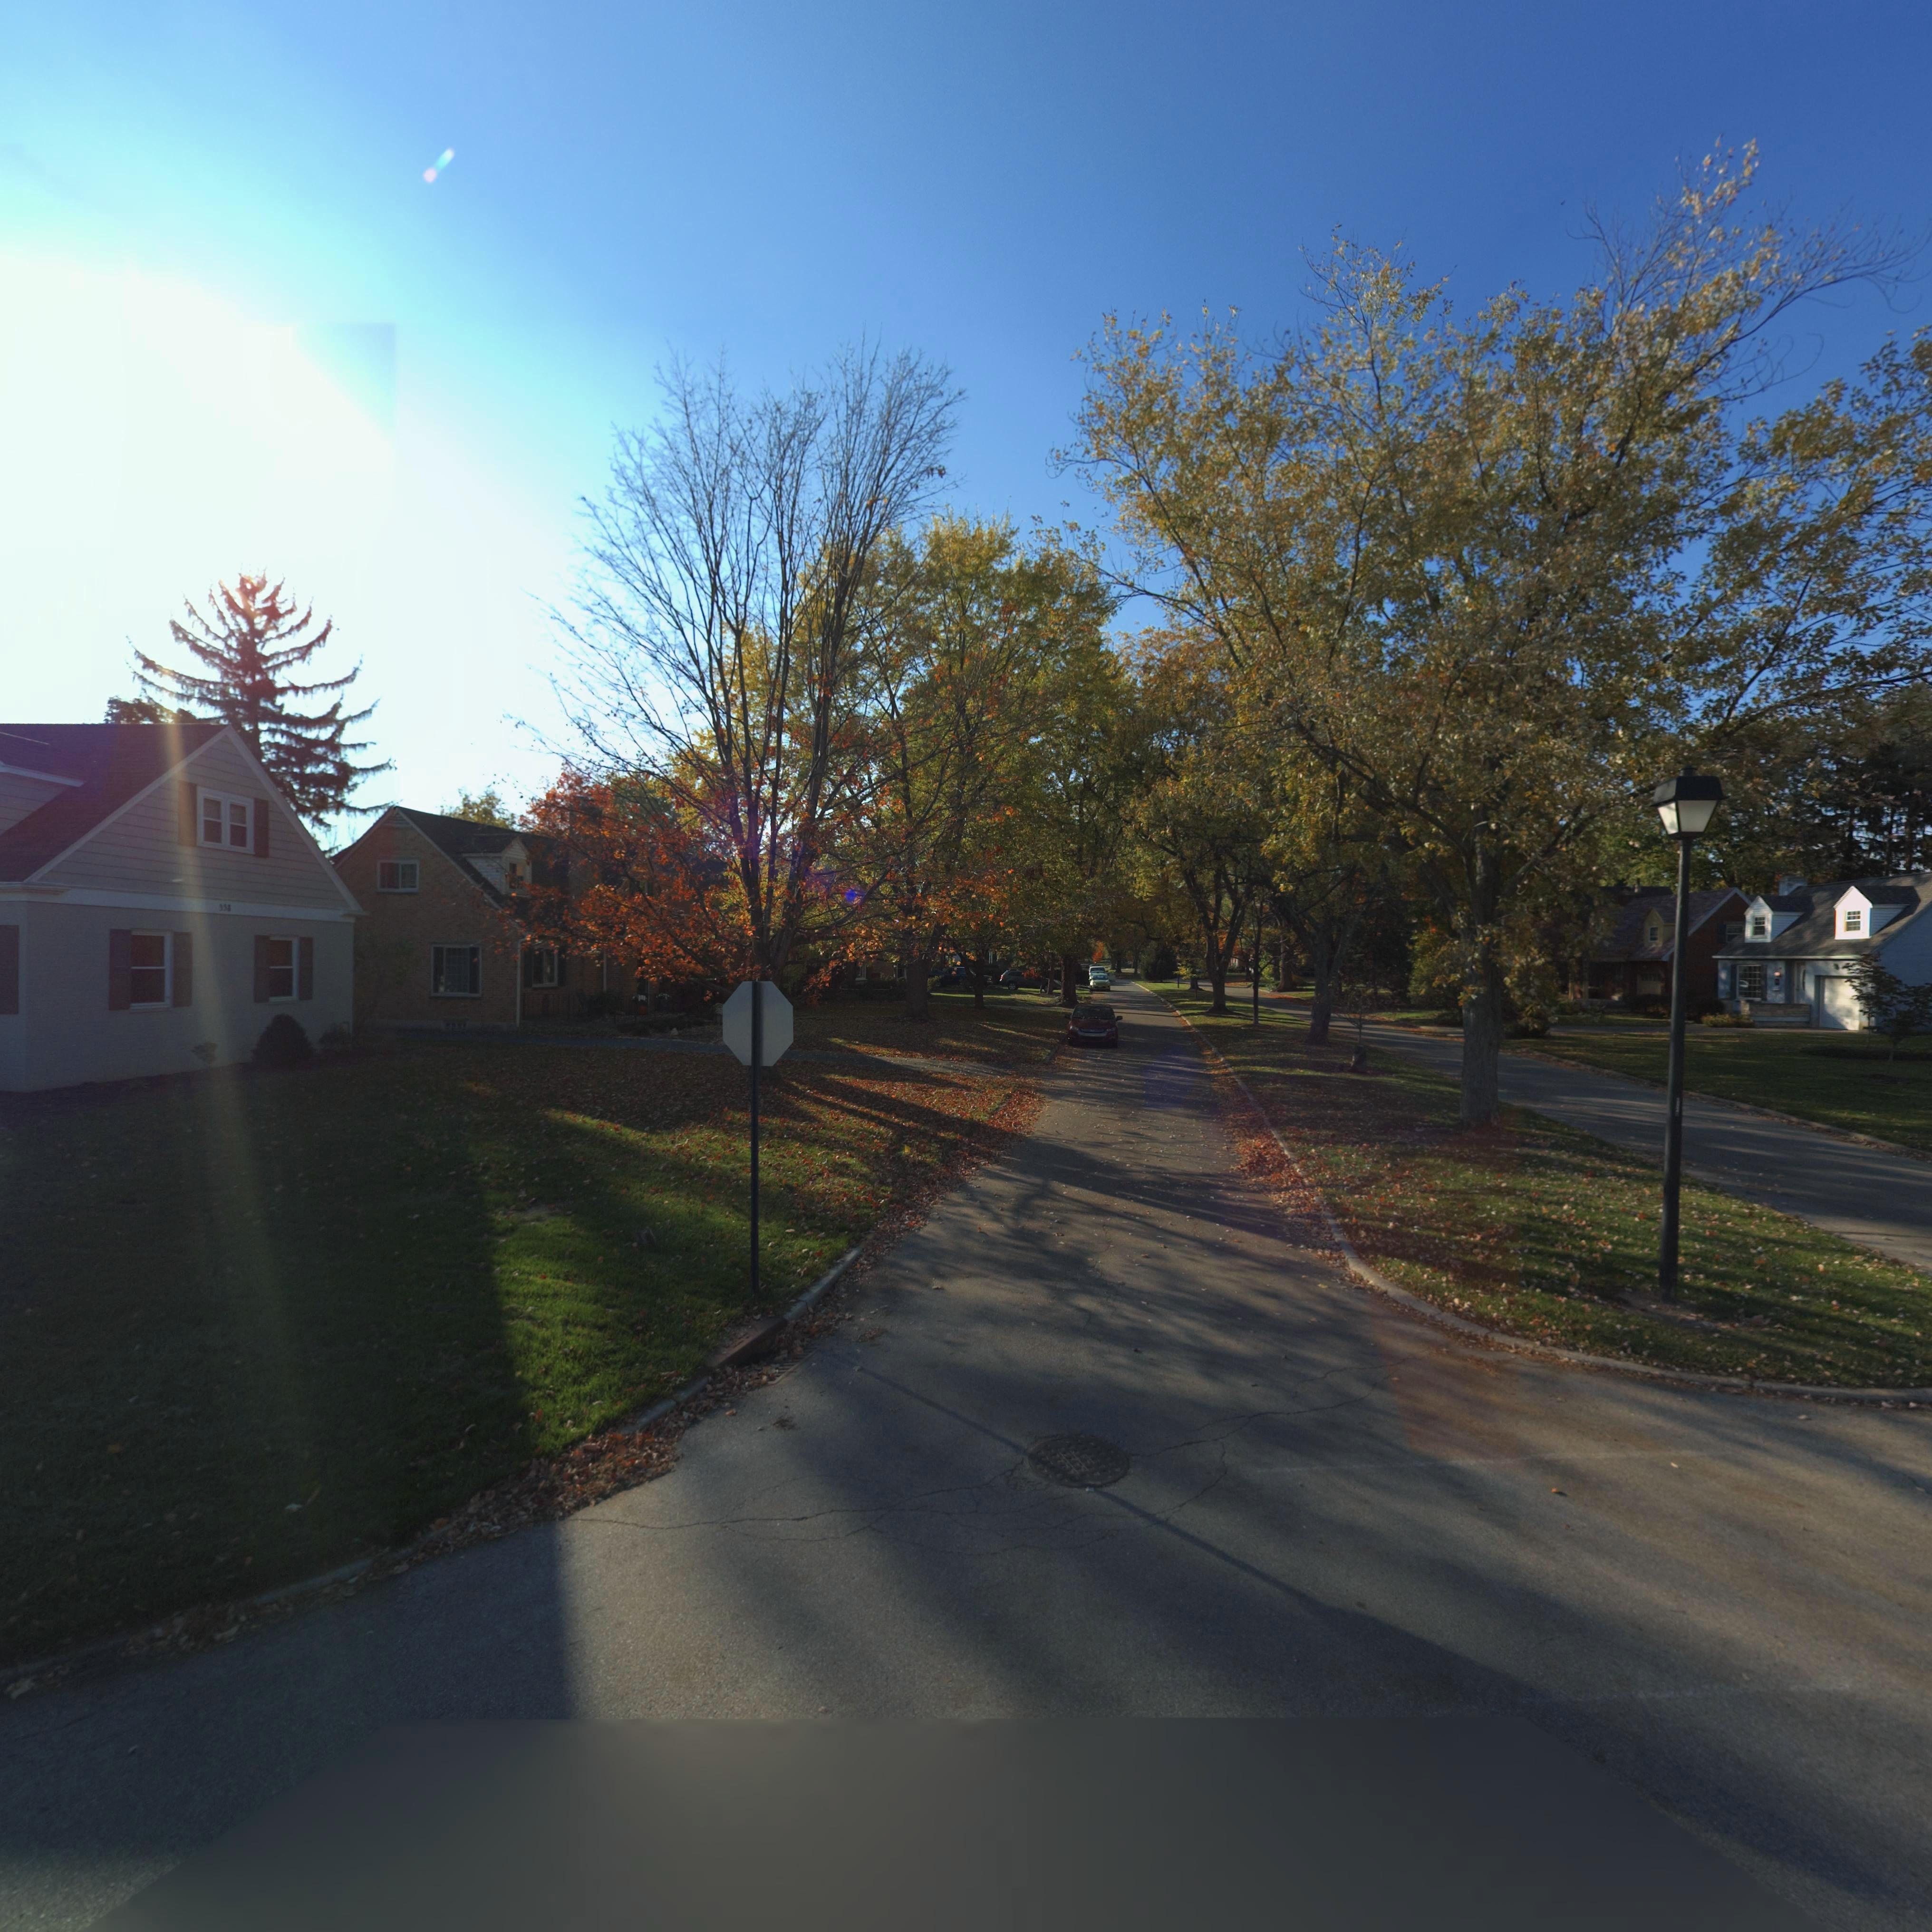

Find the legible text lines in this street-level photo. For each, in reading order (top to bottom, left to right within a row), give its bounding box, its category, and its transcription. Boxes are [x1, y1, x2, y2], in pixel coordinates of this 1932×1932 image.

[218, 903, 231, 912] StreetNumber: 358